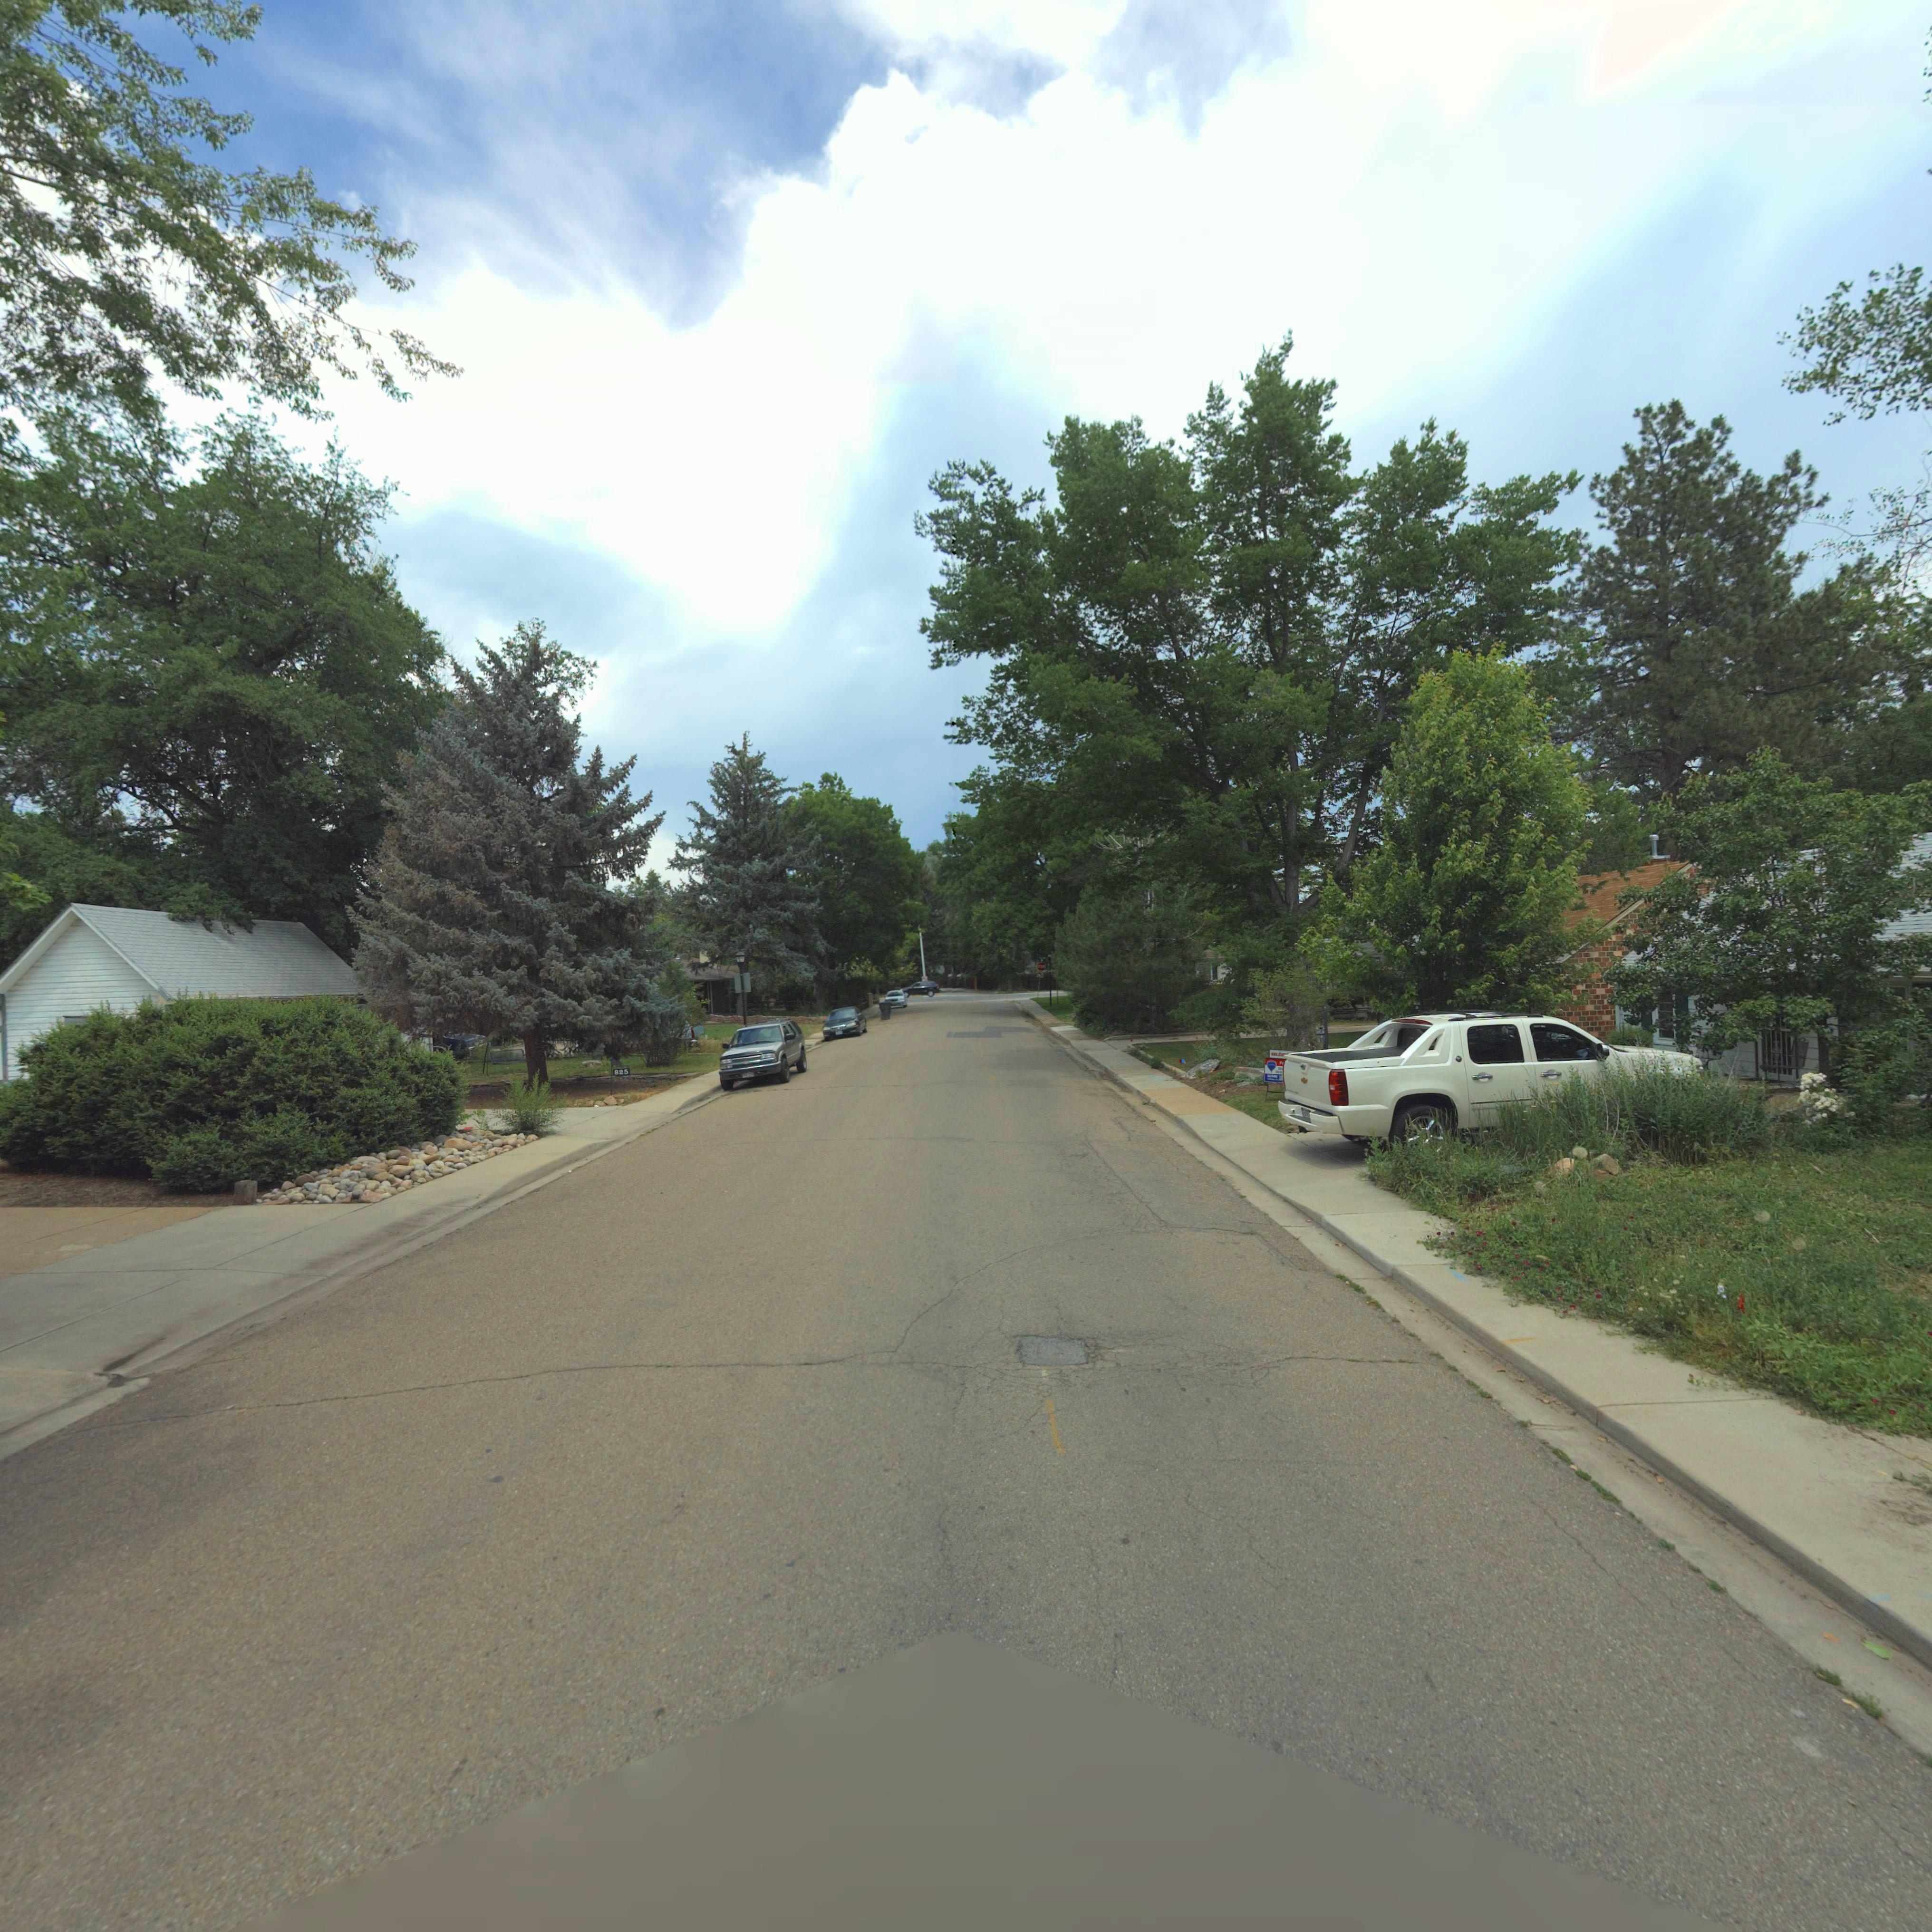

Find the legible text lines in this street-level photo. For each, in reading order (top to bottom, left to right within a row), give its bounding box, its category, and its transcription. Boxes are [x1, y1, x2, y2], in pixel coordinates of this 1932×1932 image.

[614, 1069, 628, 1075] StreetNumber: 825